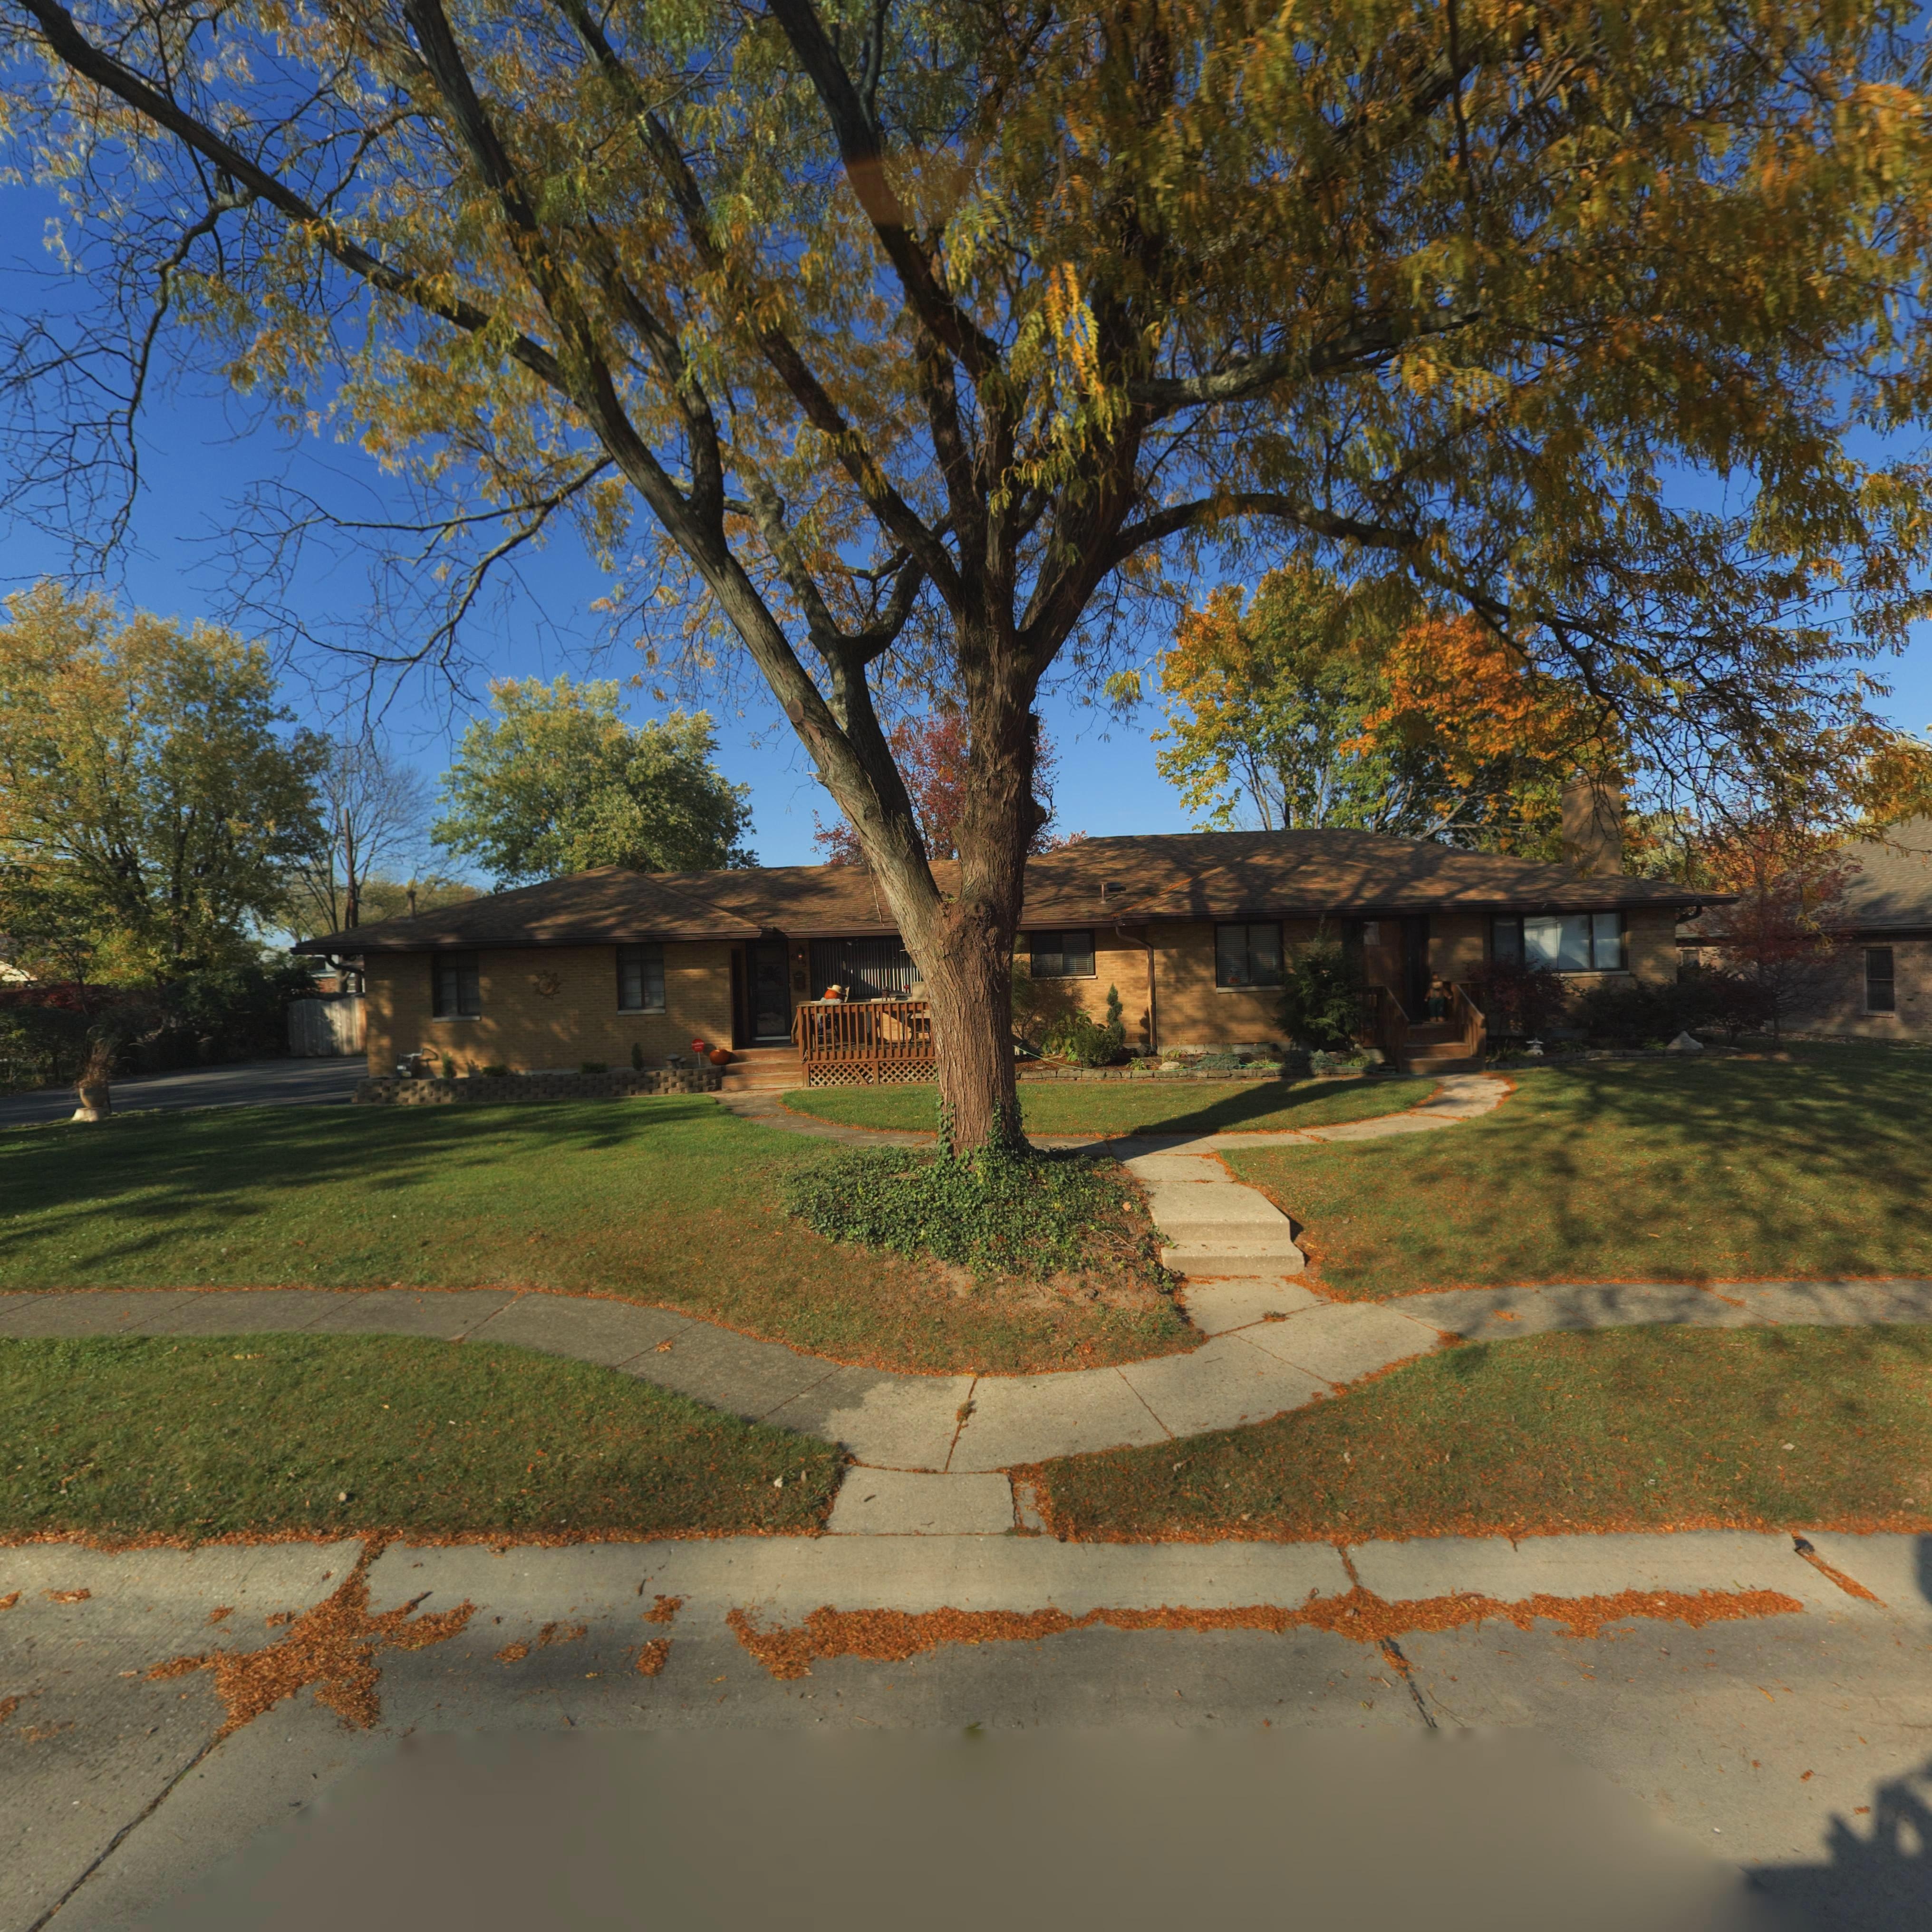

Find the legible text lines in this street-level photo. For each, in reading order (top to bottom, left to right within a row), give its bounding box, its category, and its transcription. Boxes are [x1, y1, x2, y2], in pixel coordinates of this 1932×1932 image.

[790, 953, 807, 968] StreetNumber: 6*5